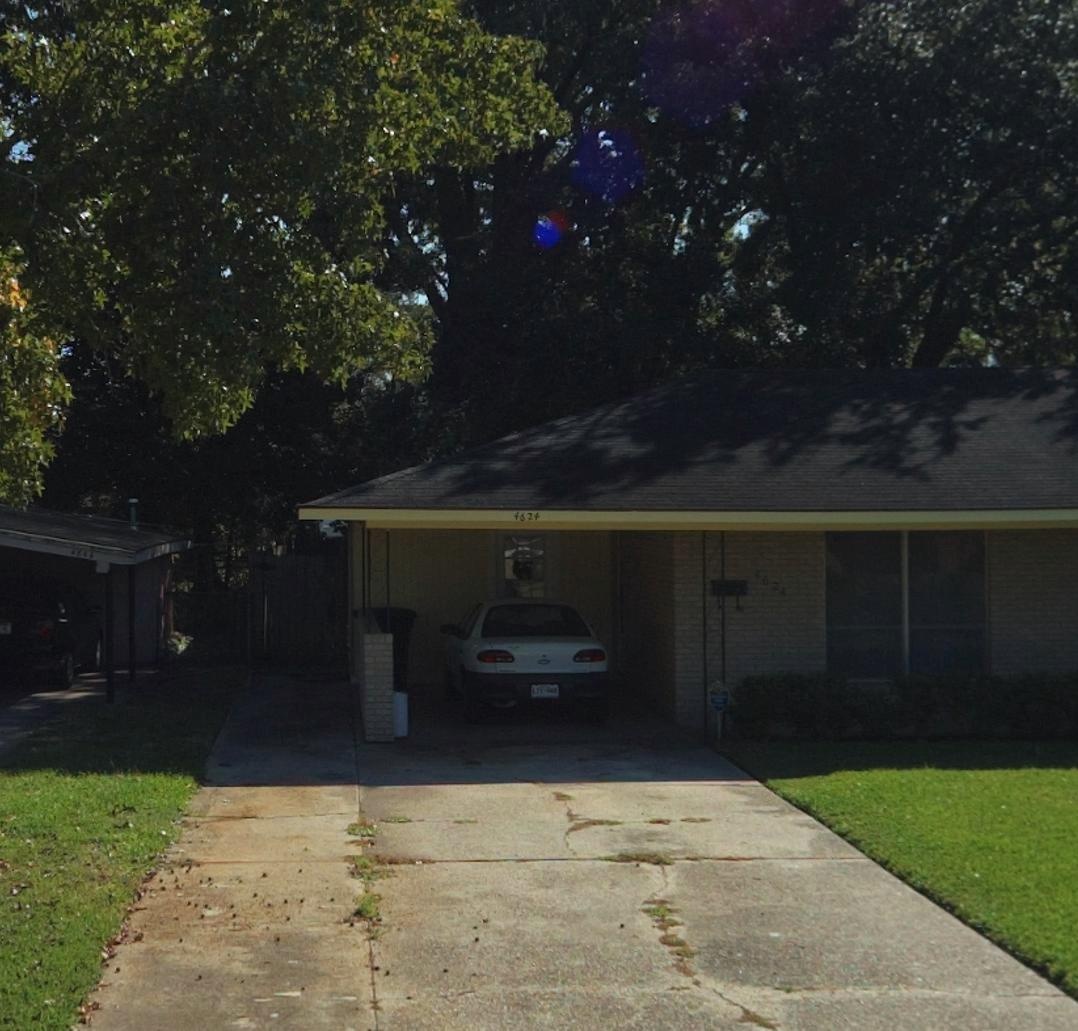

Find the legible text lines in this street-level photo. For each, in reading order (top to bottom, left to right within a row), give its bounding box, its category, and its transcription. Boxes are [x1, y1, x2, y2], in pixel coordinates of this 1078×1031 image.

[513, 511, 541, 522] StreetNumber: 4624
[753, 570, 787, 598] None: 4624